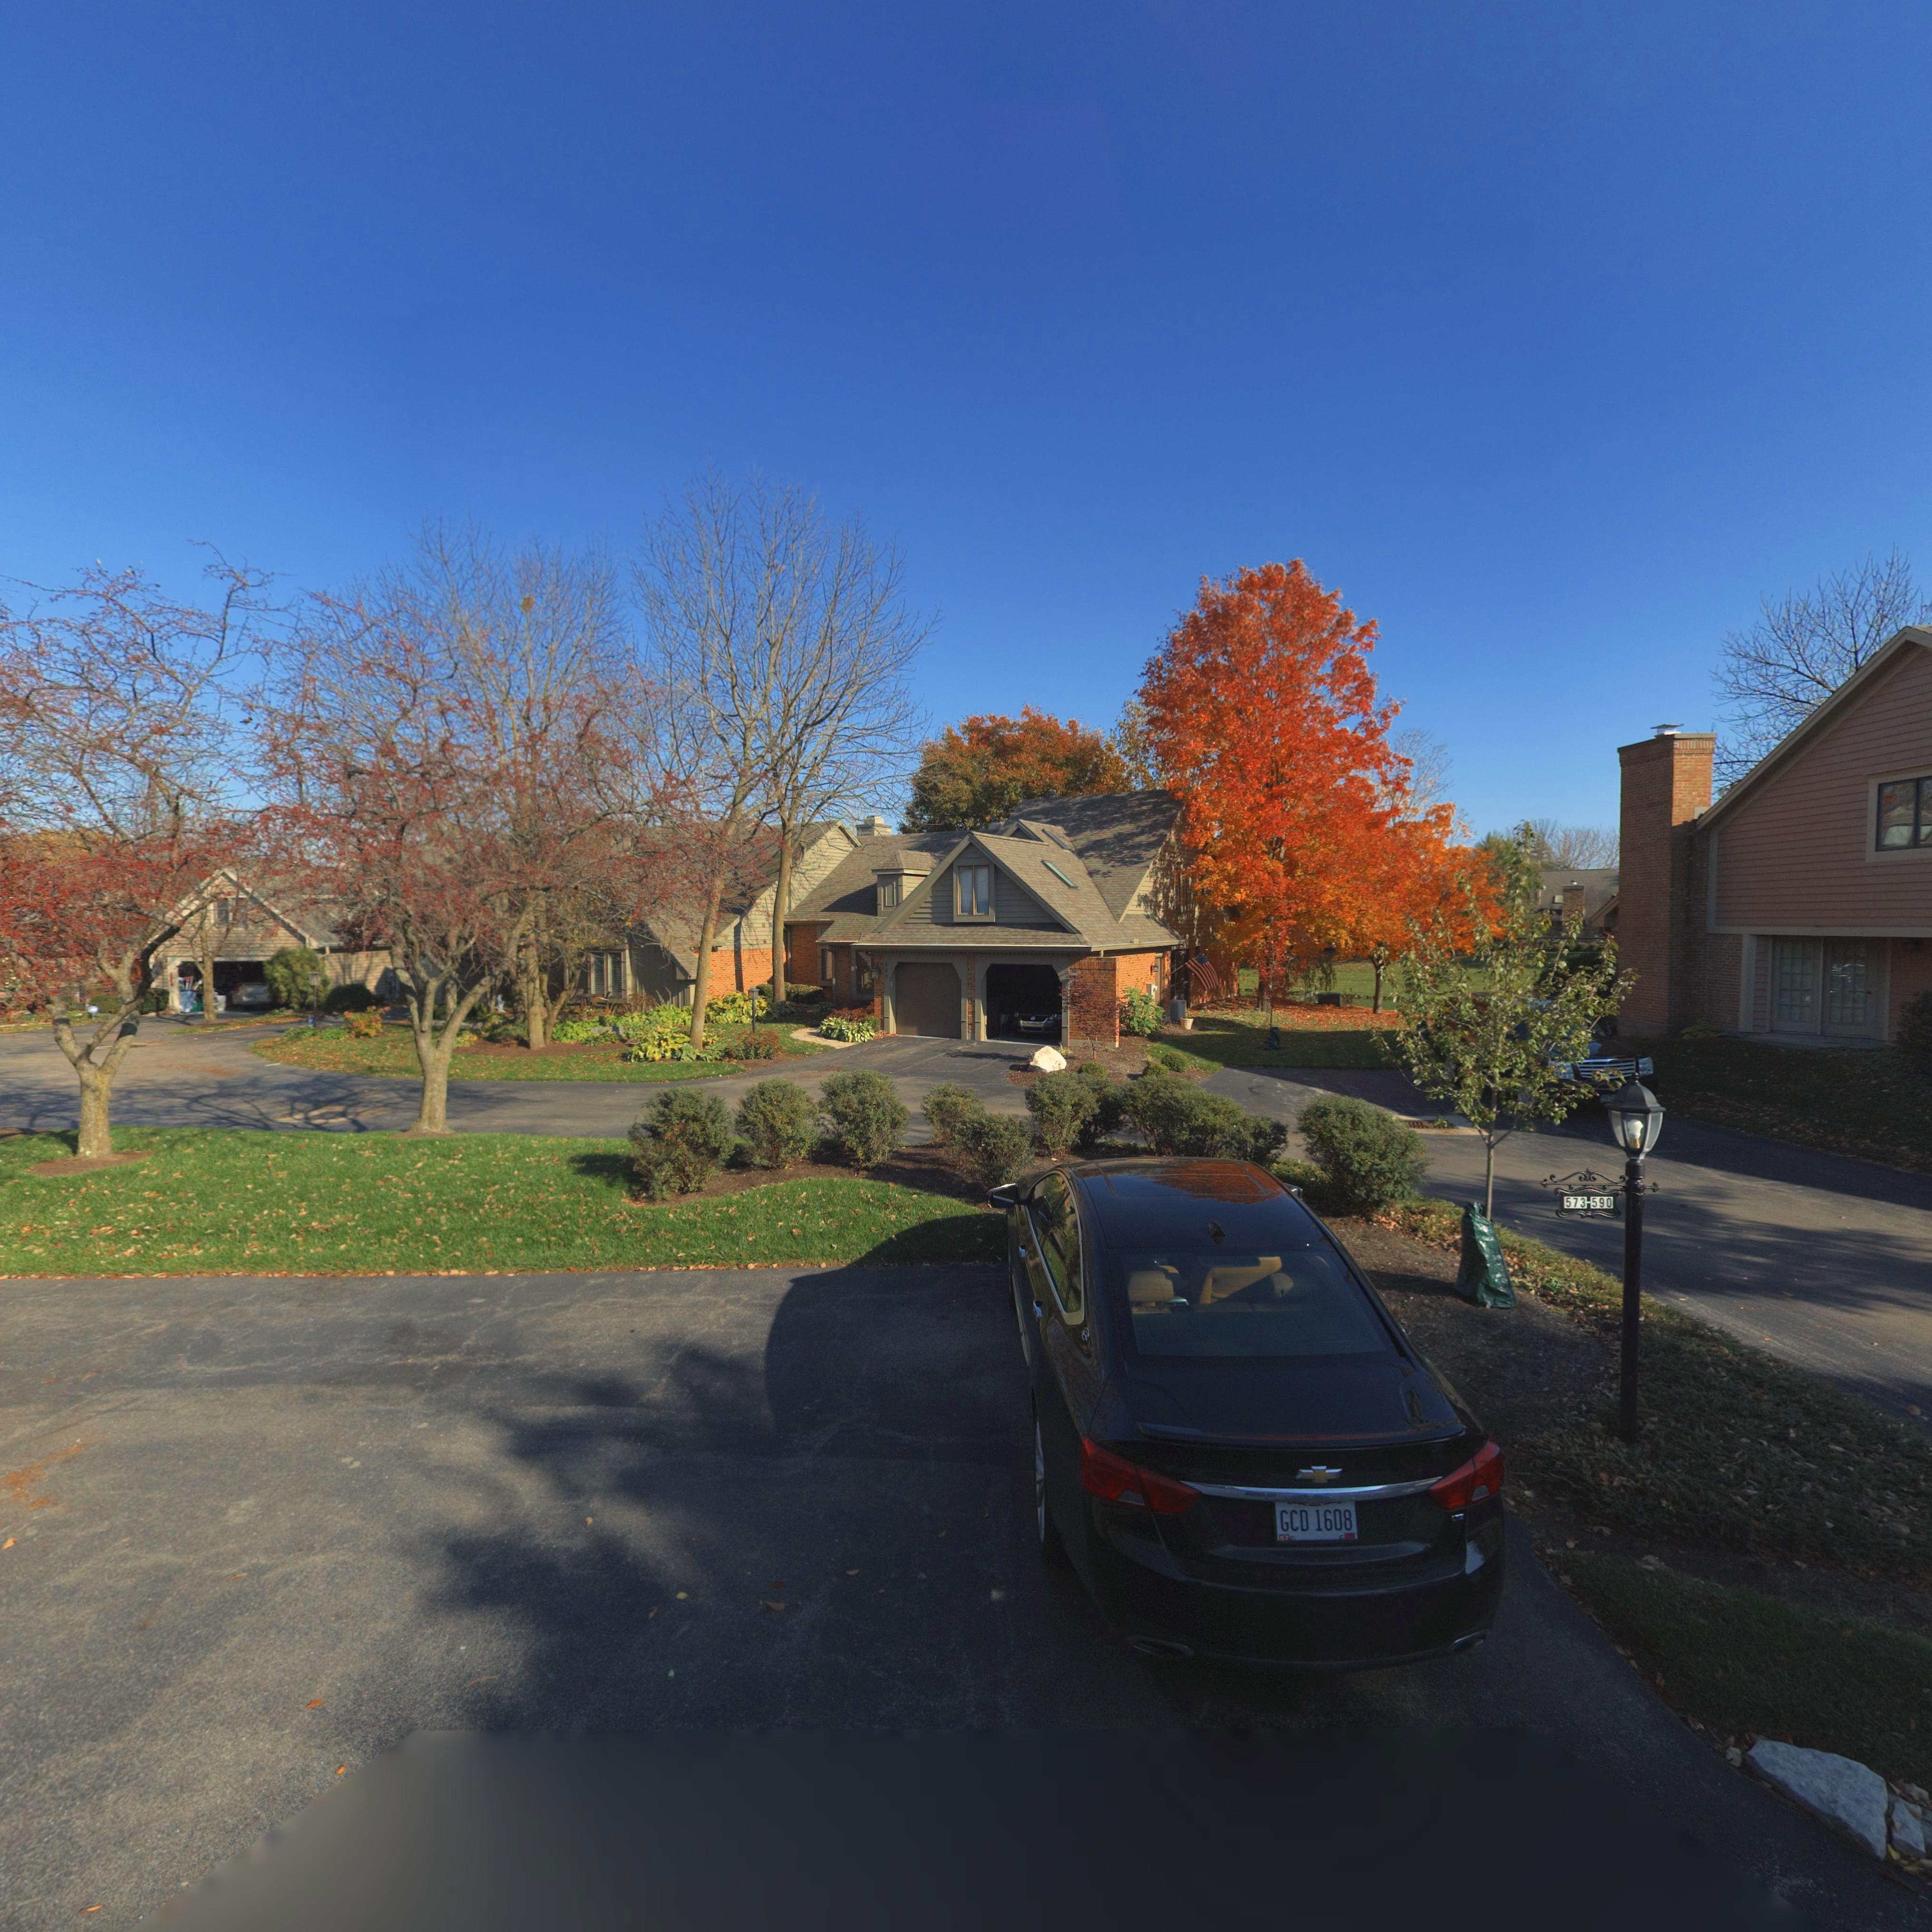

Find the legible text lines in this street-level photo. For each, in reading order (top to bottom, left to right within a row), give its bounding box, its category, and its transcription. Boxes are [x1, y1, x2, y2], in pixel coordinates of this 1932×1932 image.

[884, 961, 888, 979] StreetNumber: 590
[1565, 1197, 1586, 1208] StreetNumber: 573
[1592, 1198, 1612, 1208] StreetNumber: 590